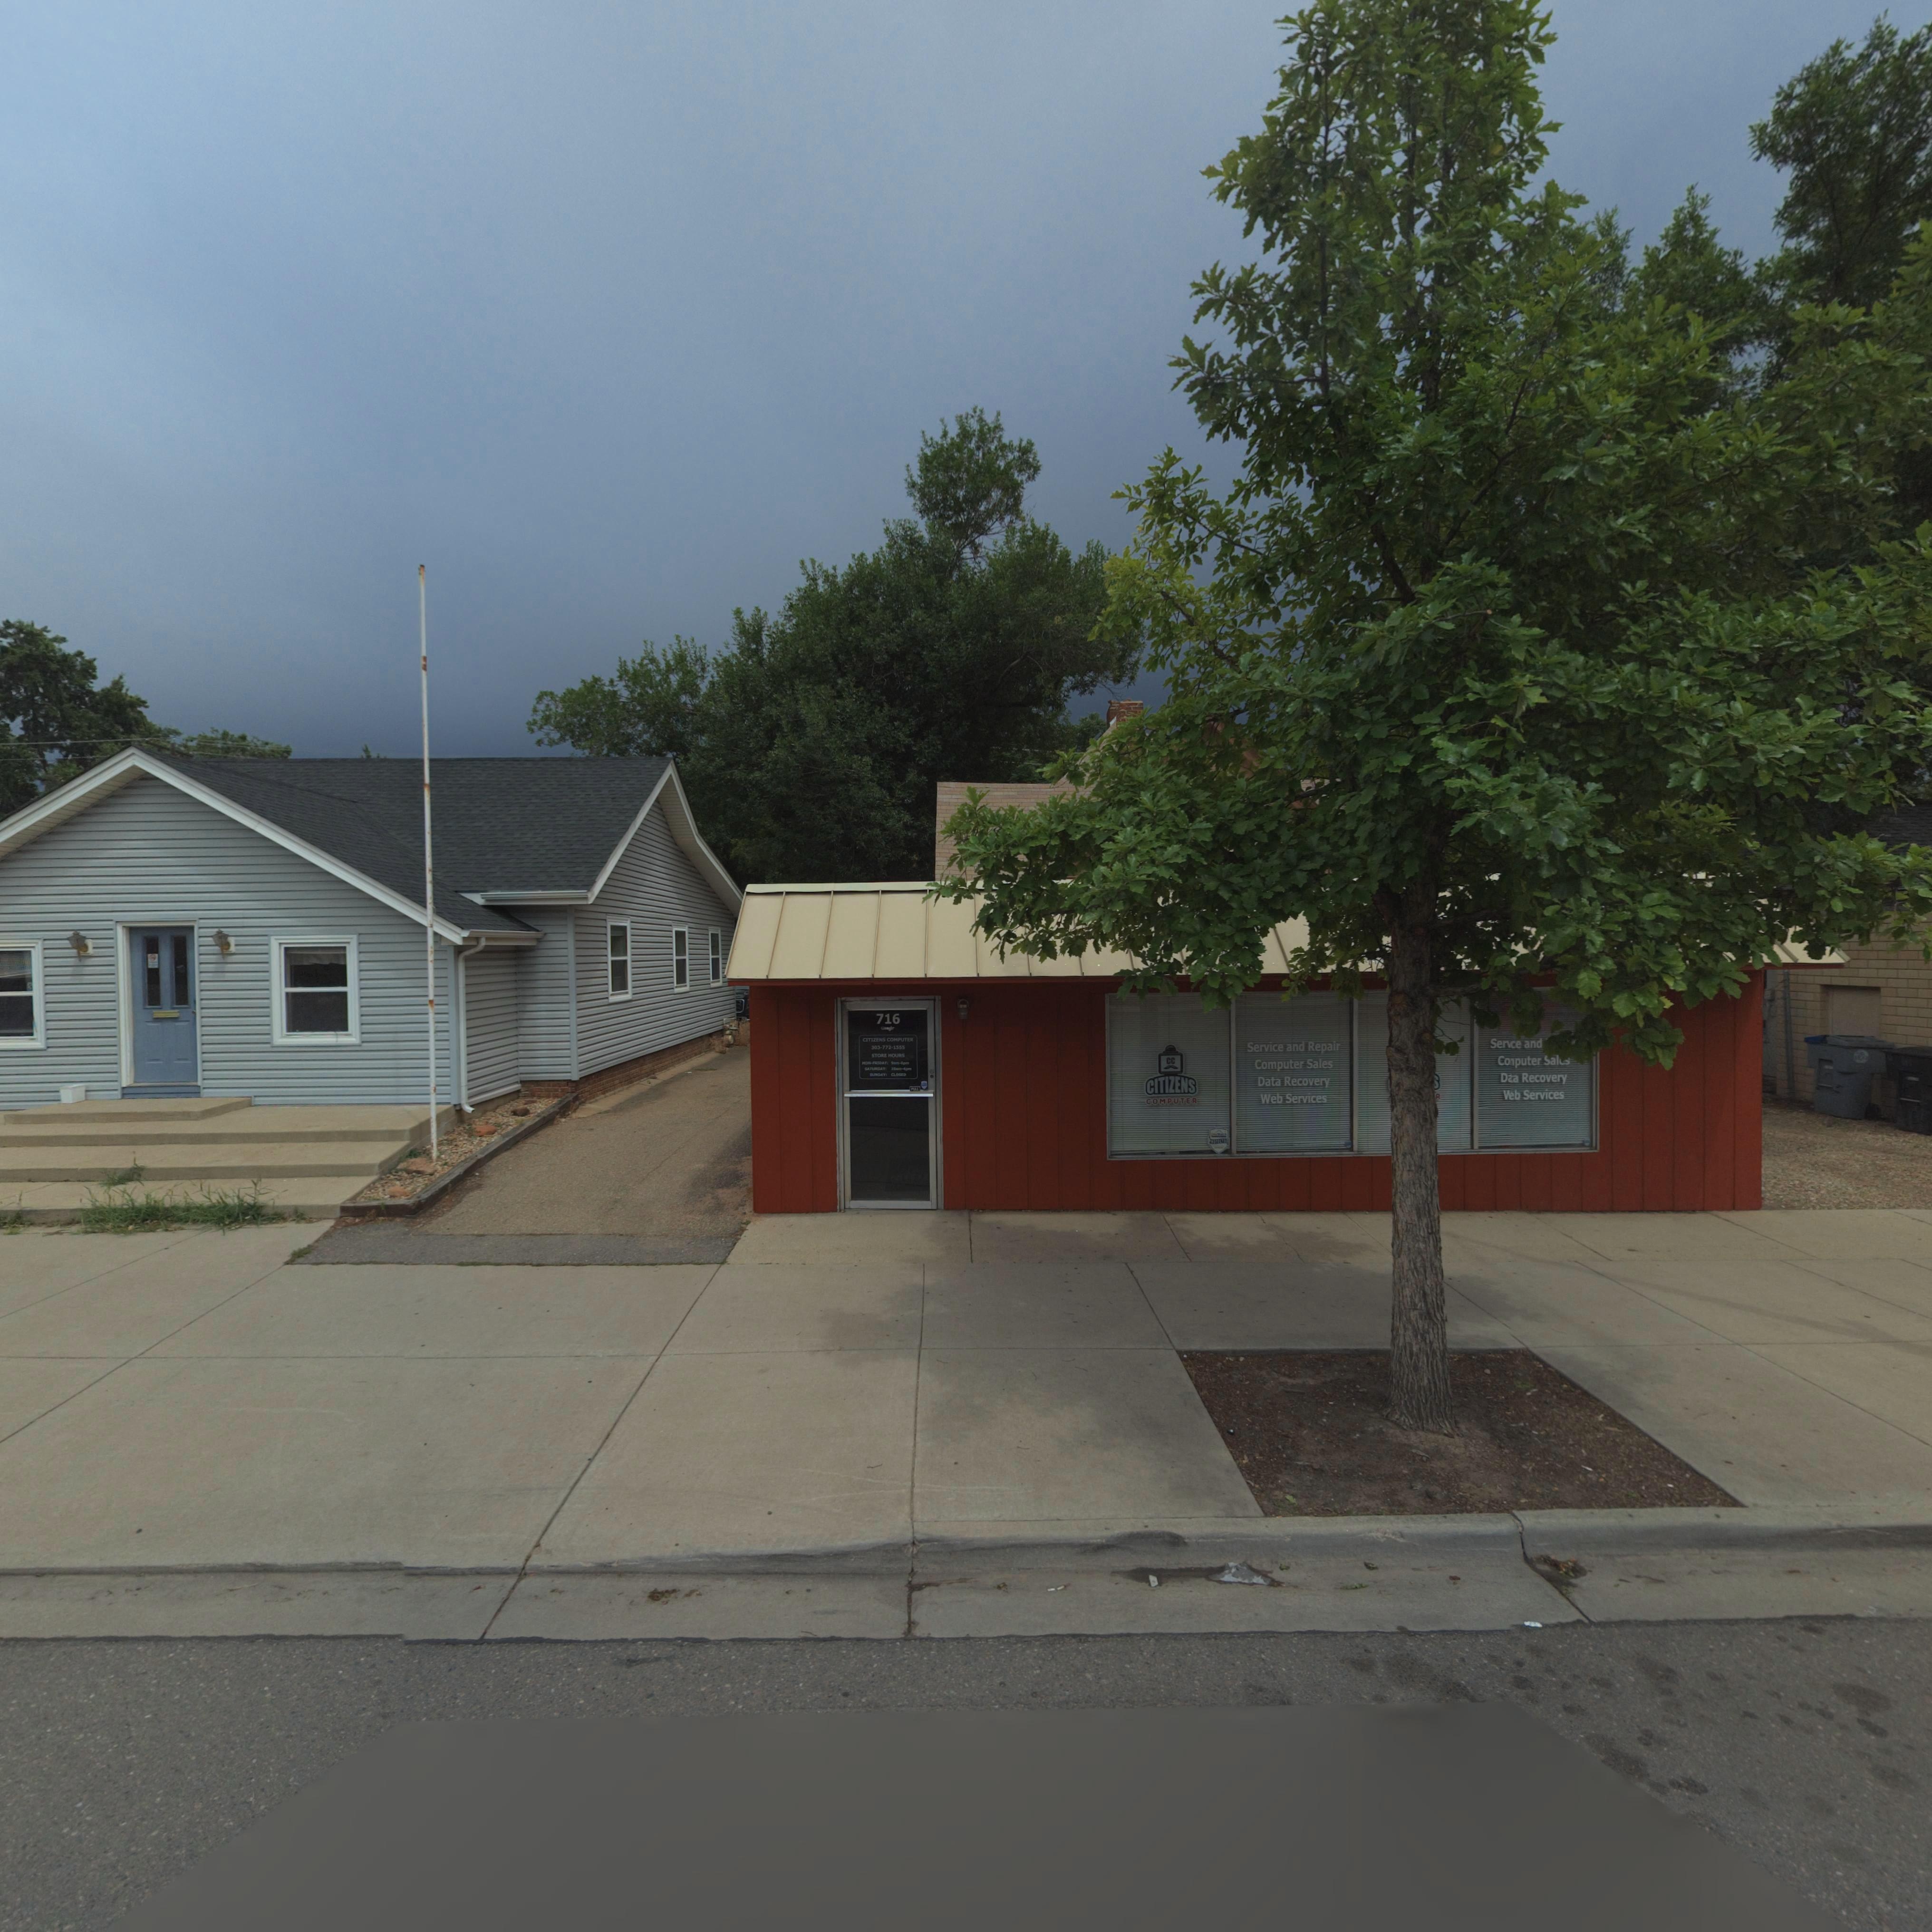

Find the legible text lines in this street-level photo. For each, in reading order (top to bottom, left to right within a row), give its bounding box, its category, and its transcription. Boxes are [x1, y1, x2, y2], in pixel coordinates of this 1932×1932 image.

[876, 1013, 900, 1024] StreetNumber: 716
[862, 1037, 913, 1042] BusinessName: CITIZENS COMPUTER
[1145, 1074, 1197, 1095] BusinessName: CITIZENS
[1146, 1097, 1197, 1104] BusinessName: COMPUTER